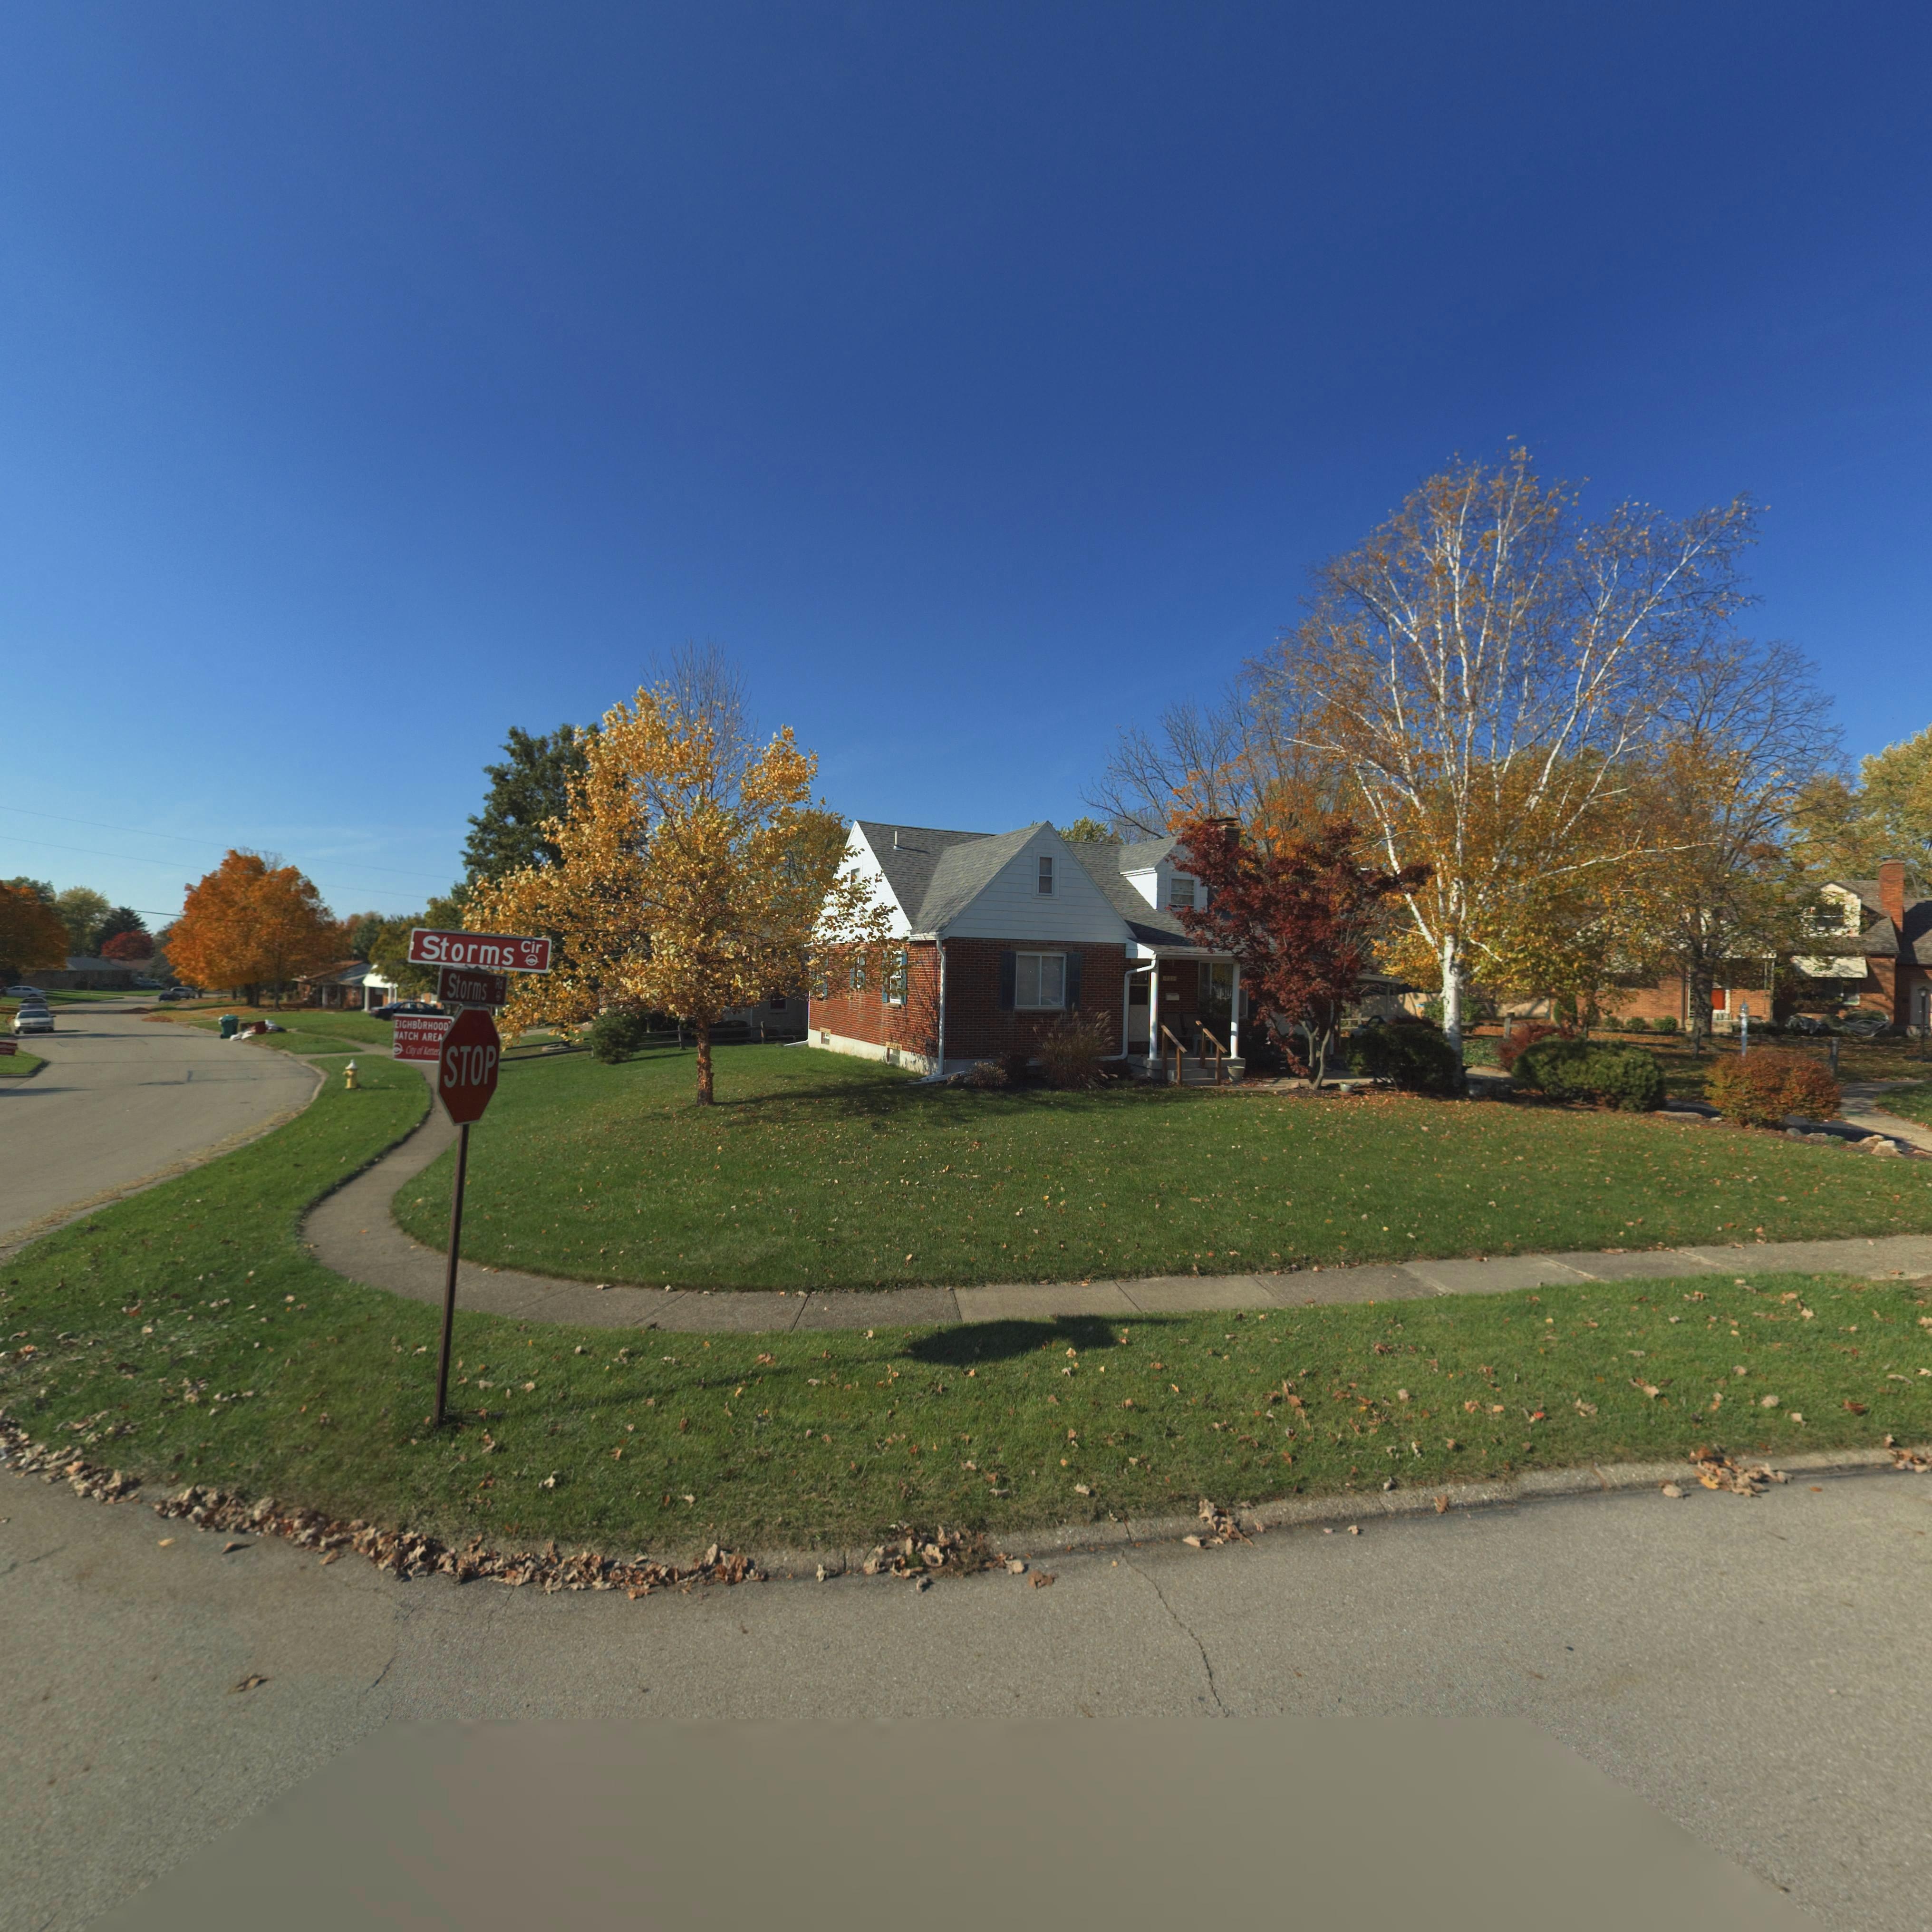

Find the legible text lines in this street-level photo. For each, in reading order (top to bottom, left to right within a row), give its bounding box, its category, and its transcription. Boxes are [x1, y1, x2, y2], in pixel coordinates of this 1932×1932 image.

[420, 935, 542, 966] StreetName: Storms Cir
[1165, 976, 1175, 981] StreetNumber: 70*
[446, 973, 504, 1002] StreetName: Storms Rd
[395, 1019, 449, 1032] None: EIGHBORHOOD
[397, 1031, 444, 1042] None: ATCH AREA
[405, 1045, 441, 1057] None: City of Ketter
[444, 1045, 497, 1089] None: STOP